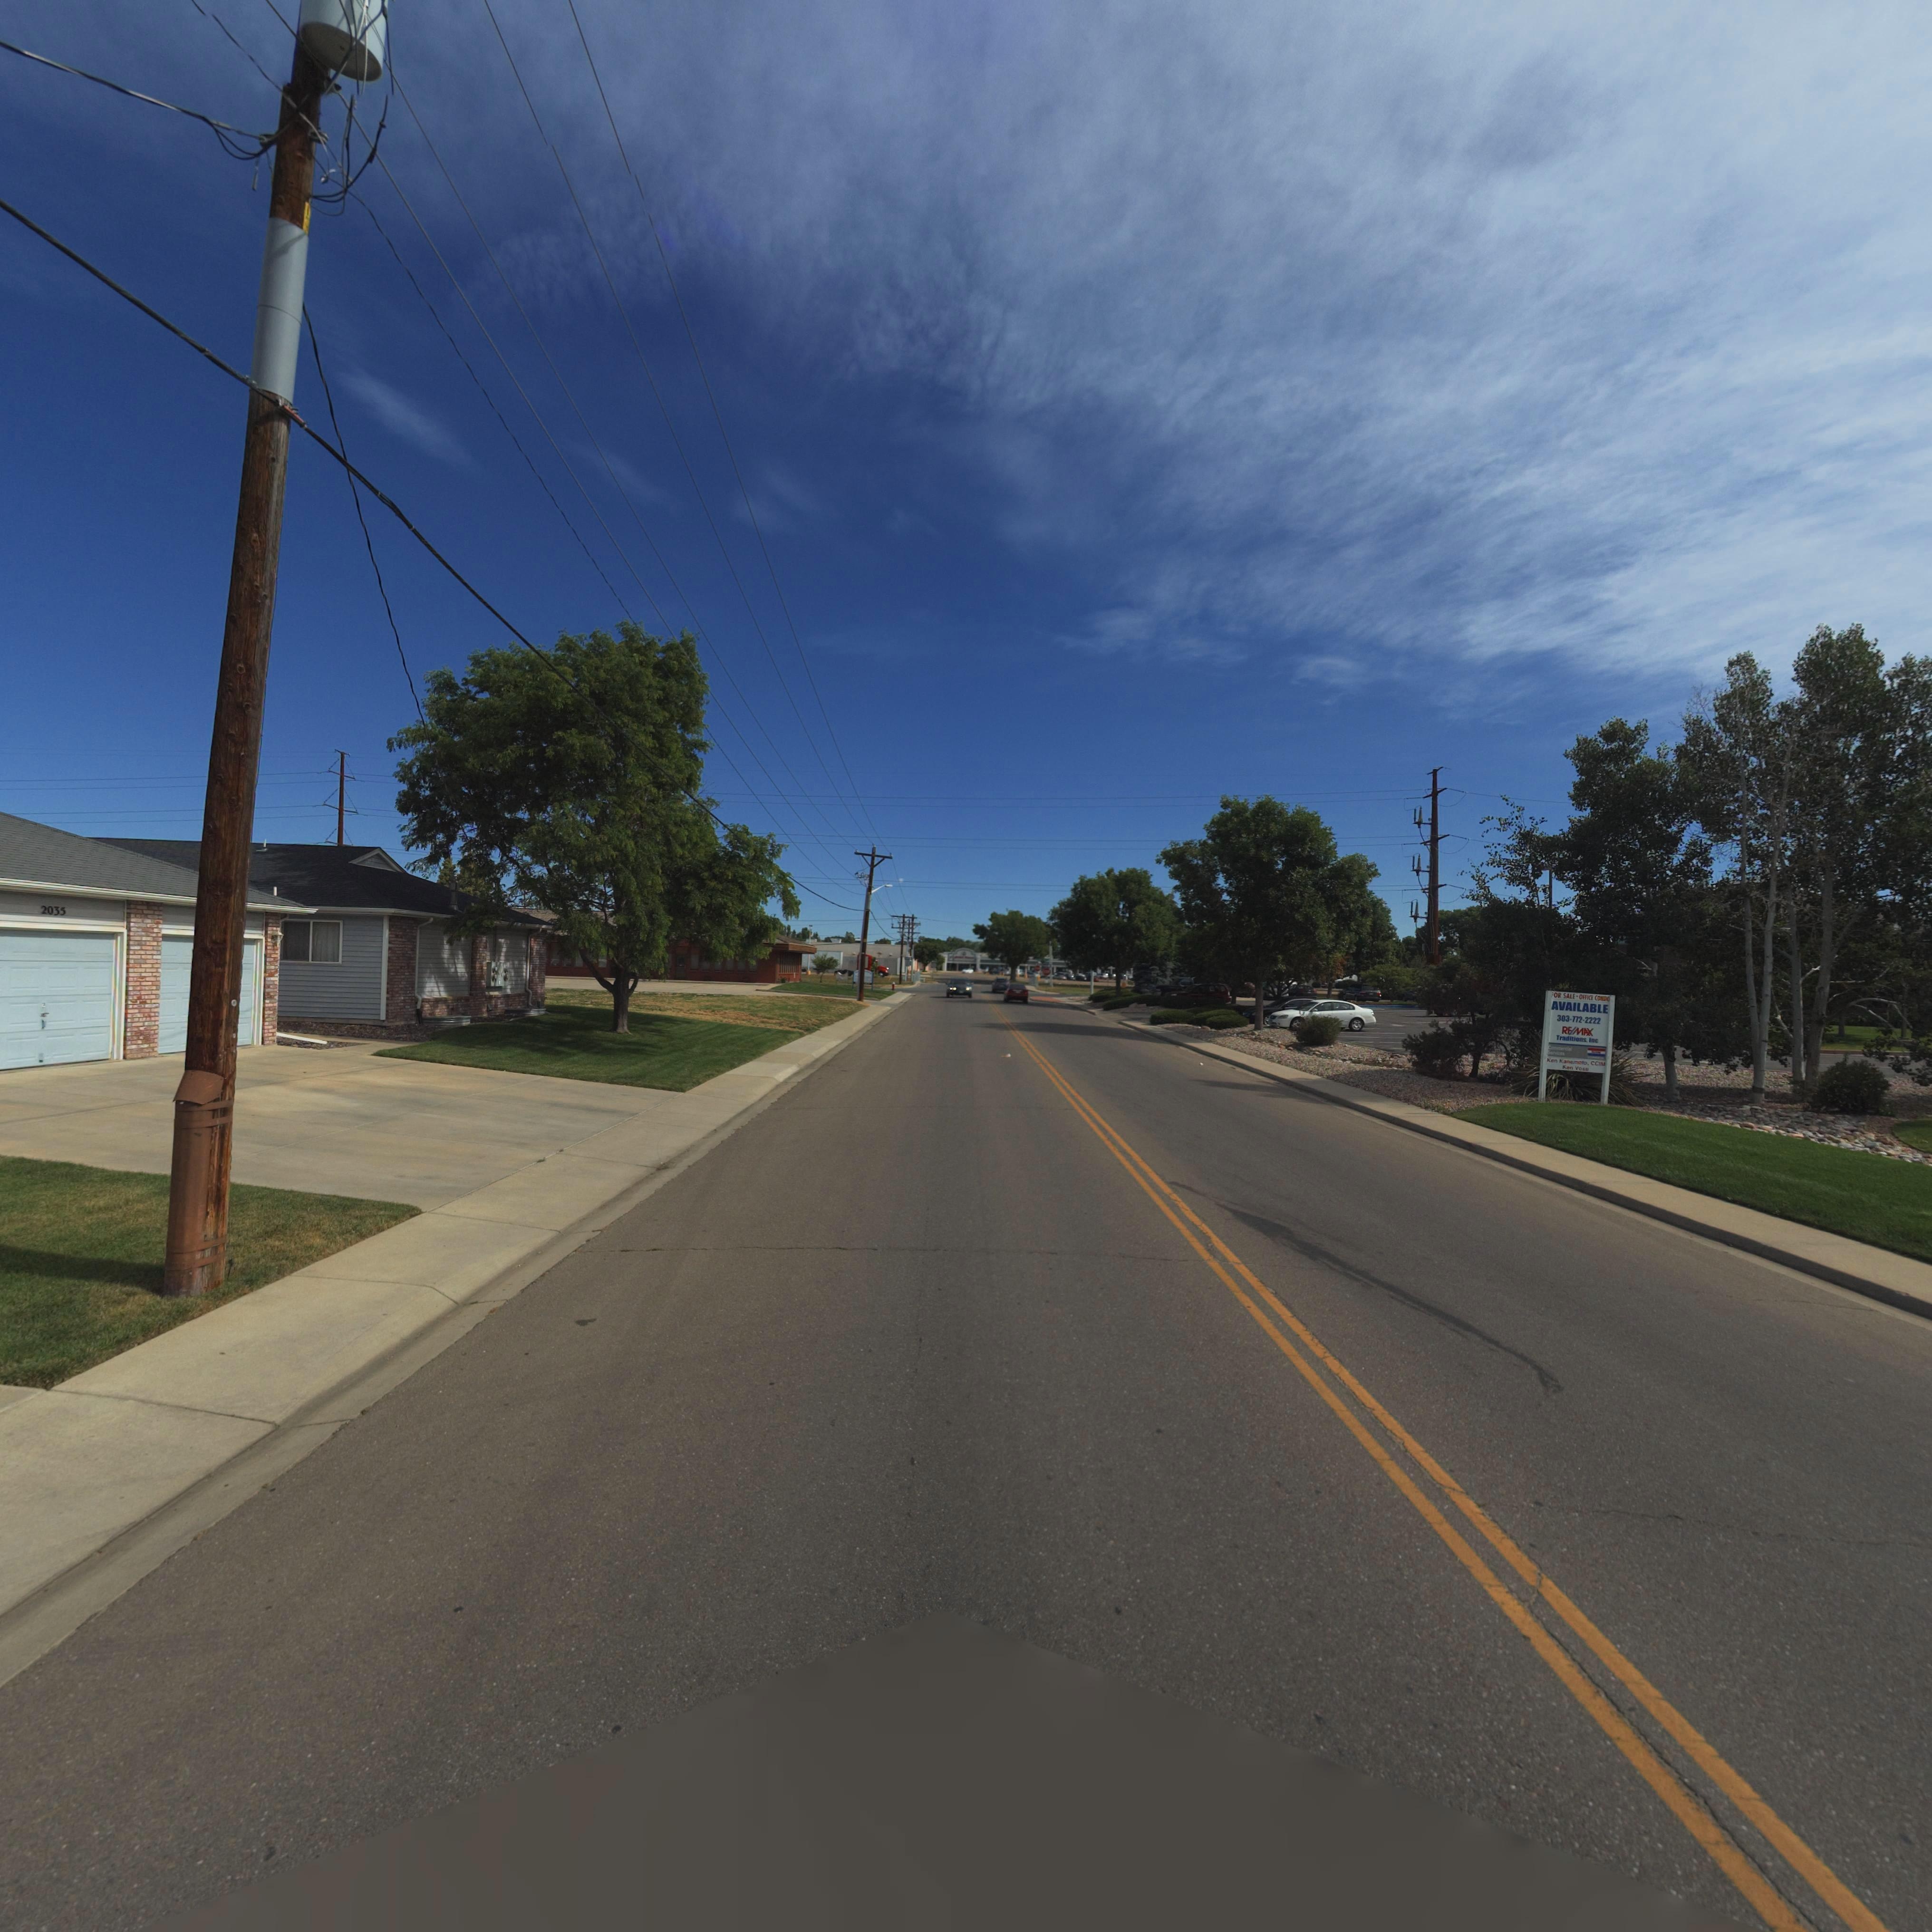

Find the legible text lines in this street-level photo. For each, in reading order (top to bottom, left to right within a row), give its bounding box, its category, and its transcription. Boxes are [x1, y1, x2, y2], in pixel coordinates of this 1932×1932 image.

[40, 904, 66, 916] StreetNumber: 2035